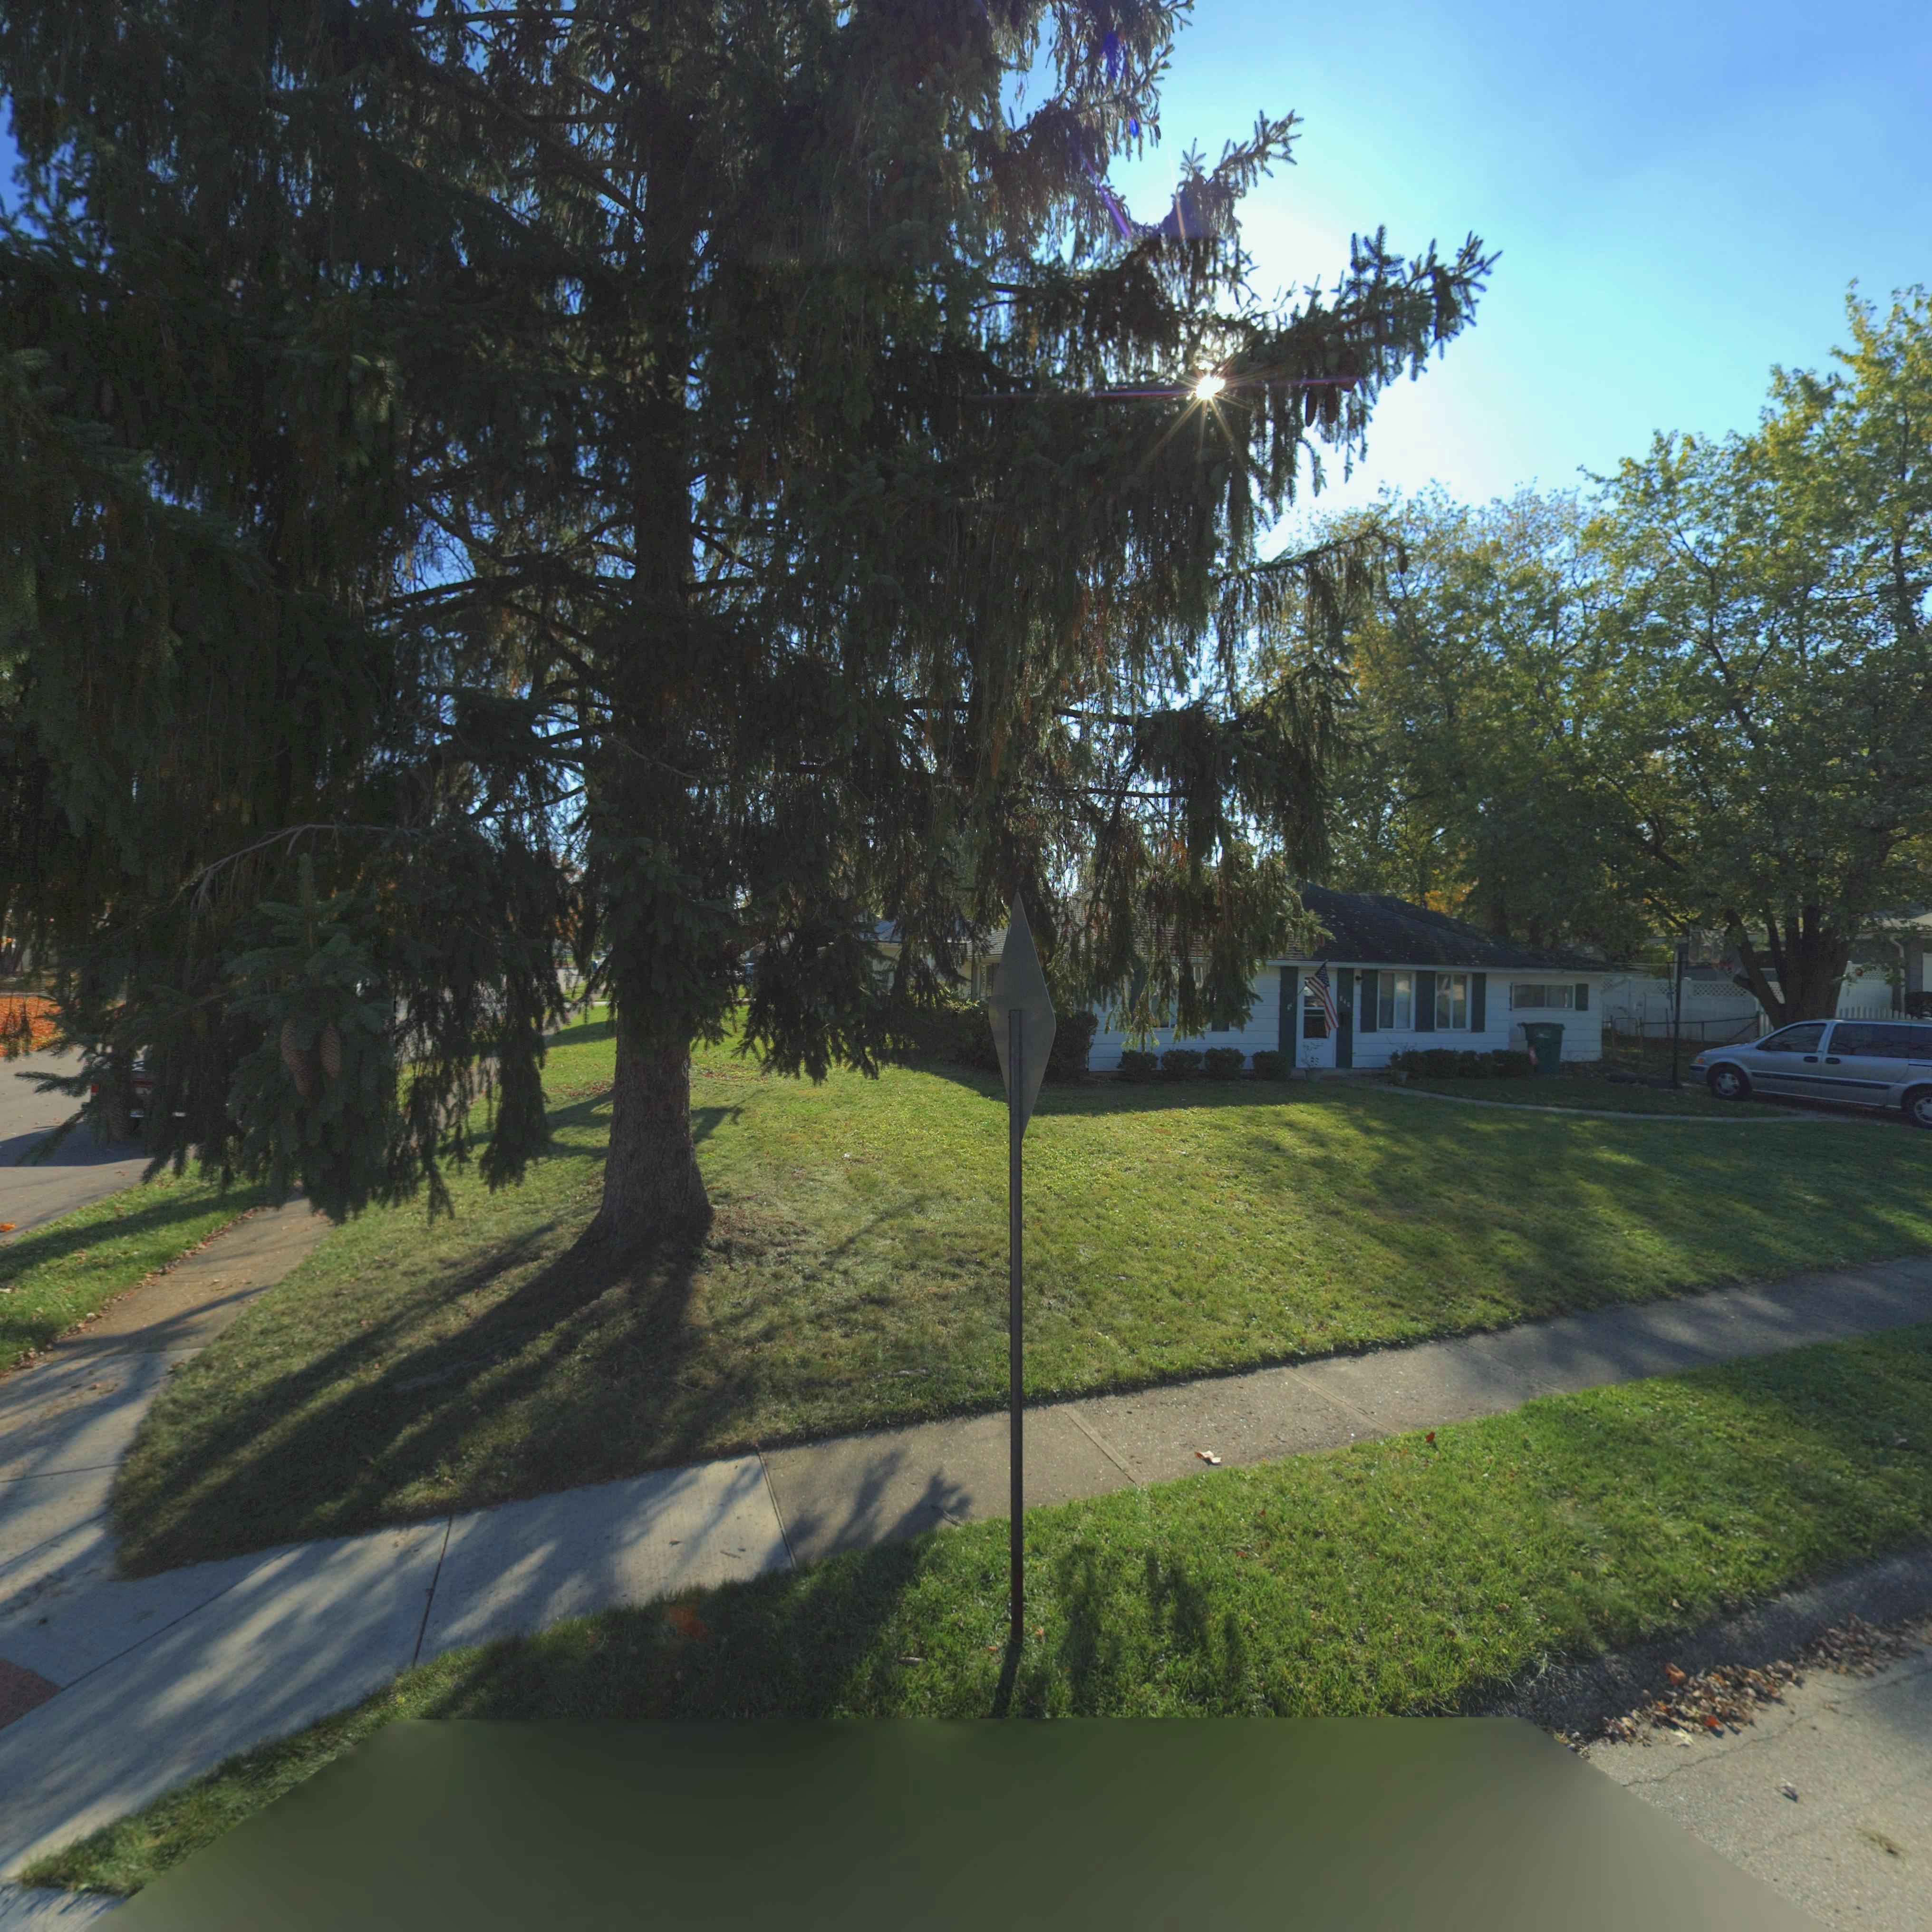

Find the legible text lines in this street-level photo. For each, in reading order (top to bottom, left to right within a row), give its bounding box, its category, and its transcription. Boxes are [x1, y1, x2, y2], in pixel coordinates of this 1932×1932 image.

[1339, 994, 1351, 1007] StreetNumber: 840